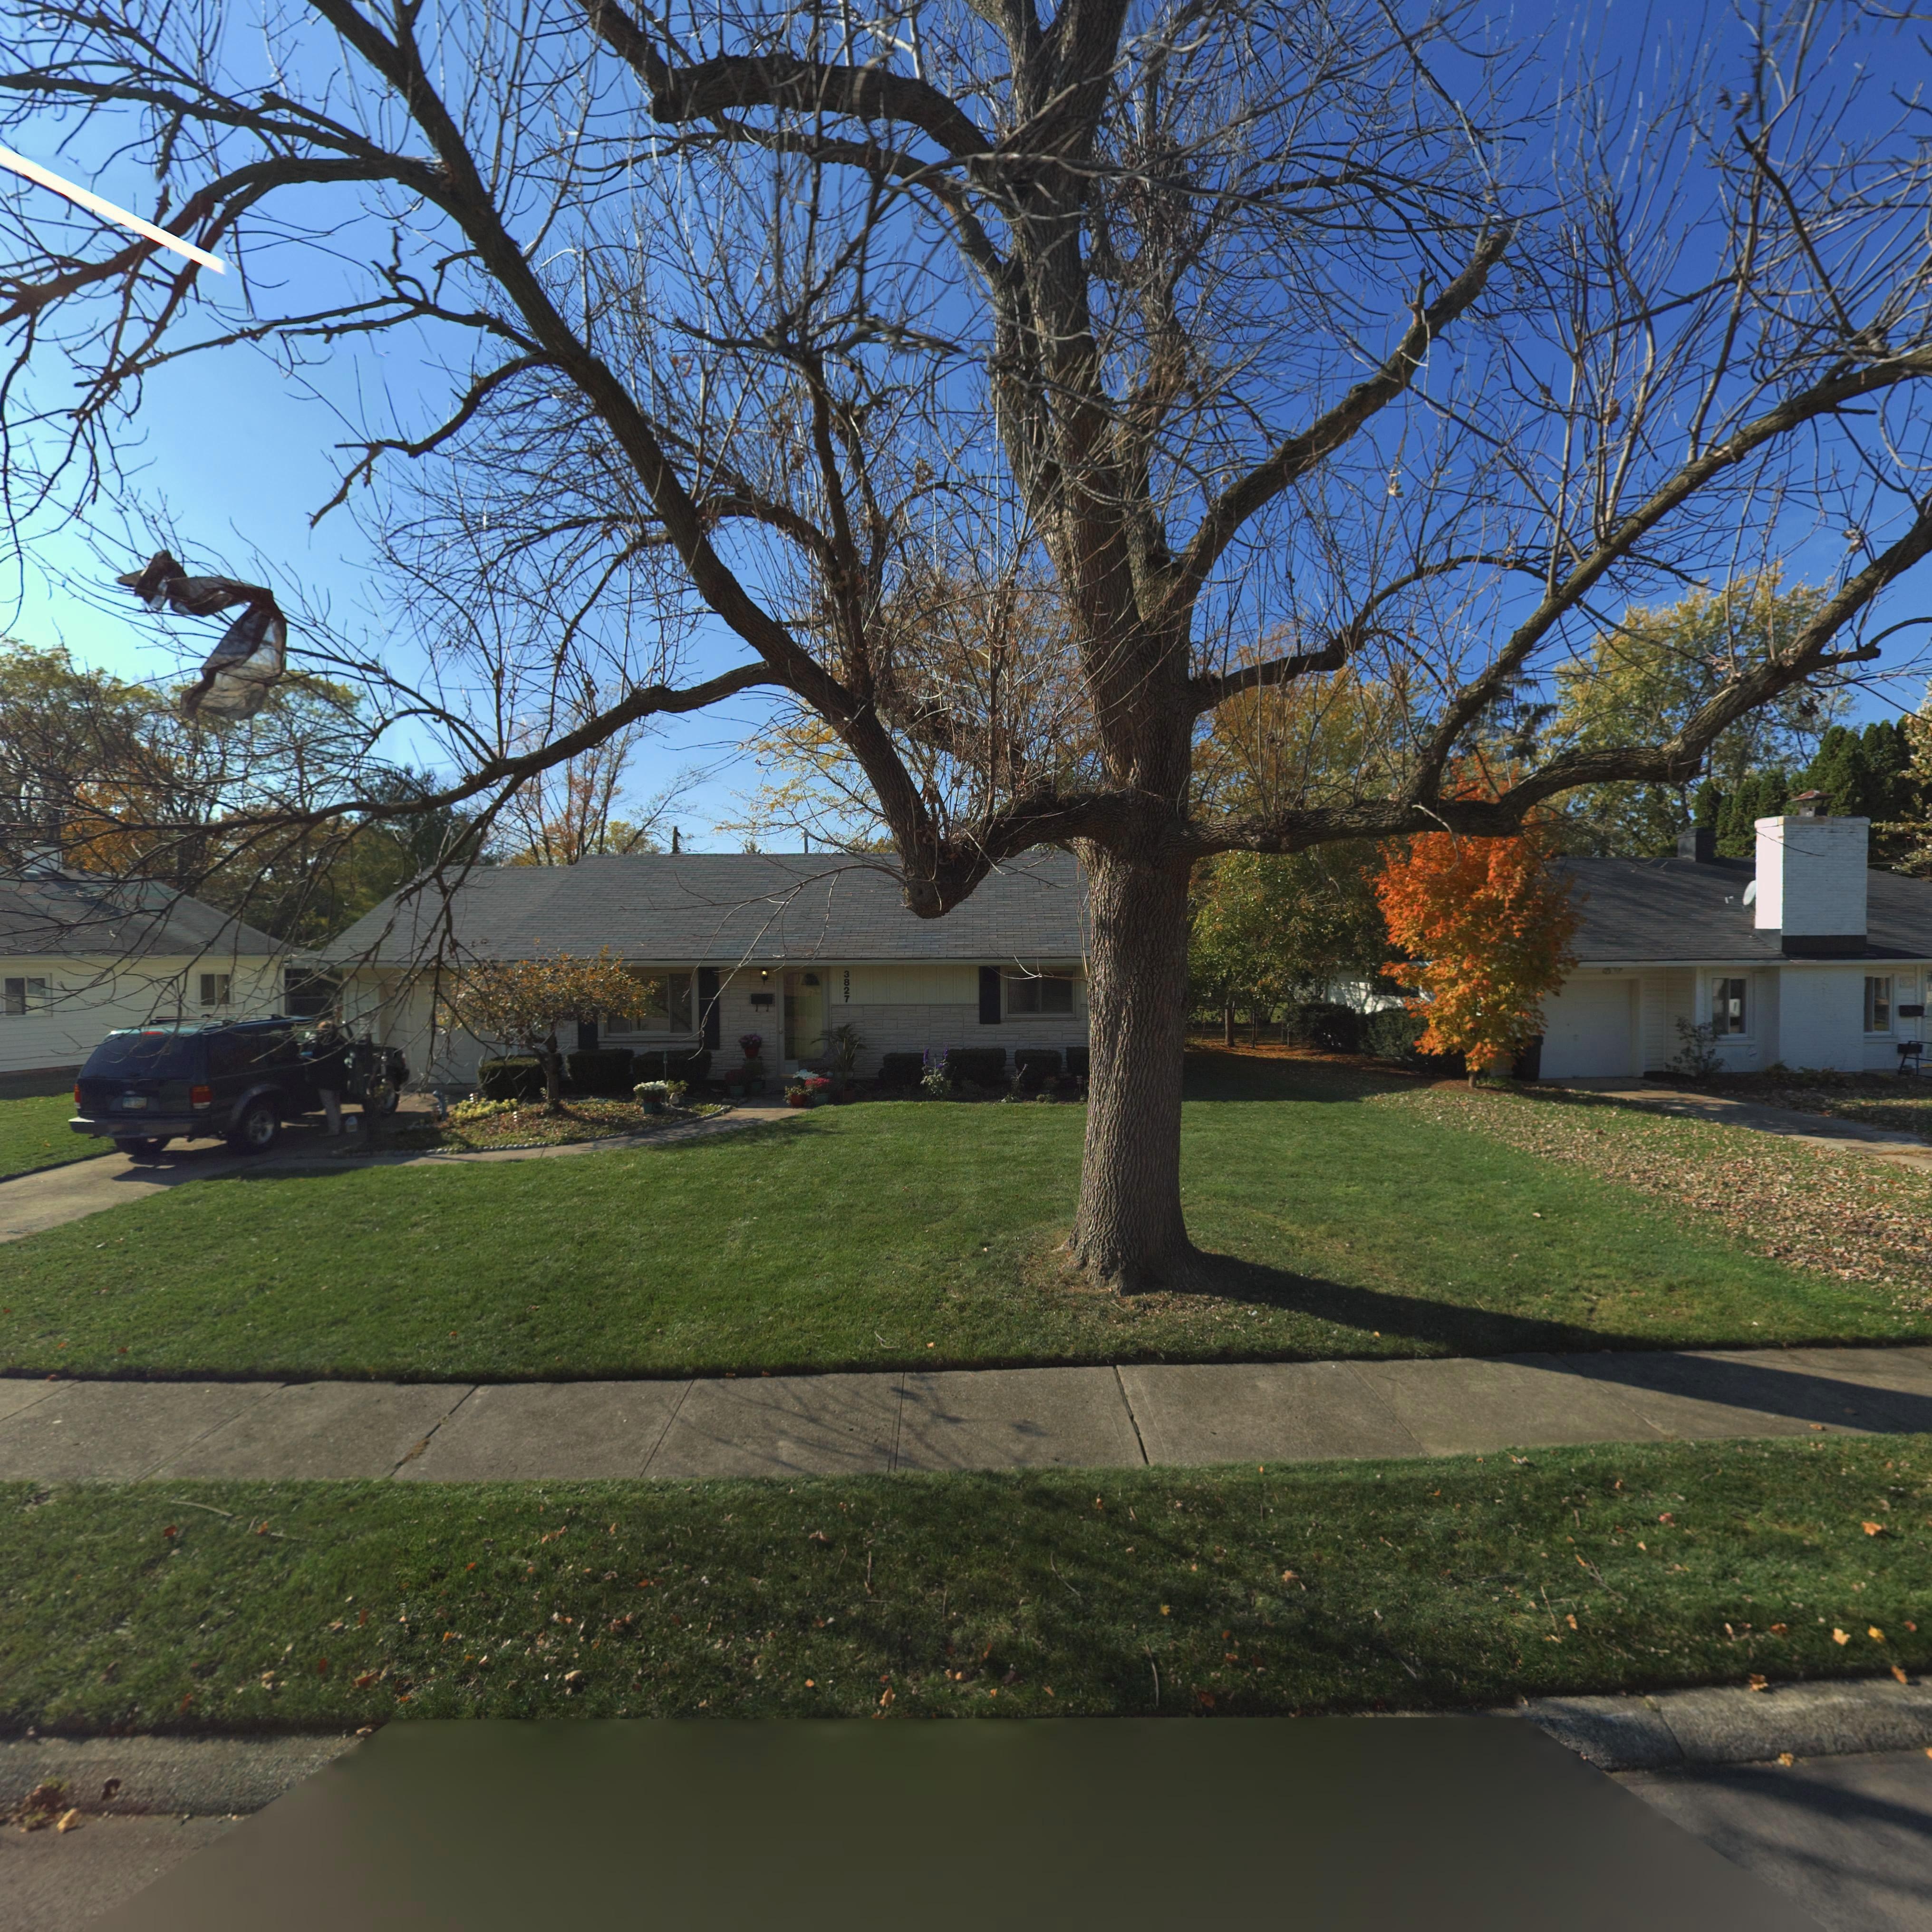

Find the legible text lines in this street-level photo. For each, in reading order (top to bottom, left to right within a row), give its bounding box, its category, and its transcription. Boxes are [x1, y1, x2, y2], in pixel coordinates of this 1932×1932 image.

[843, 969, 850, 1003] StreetNumber: 3827